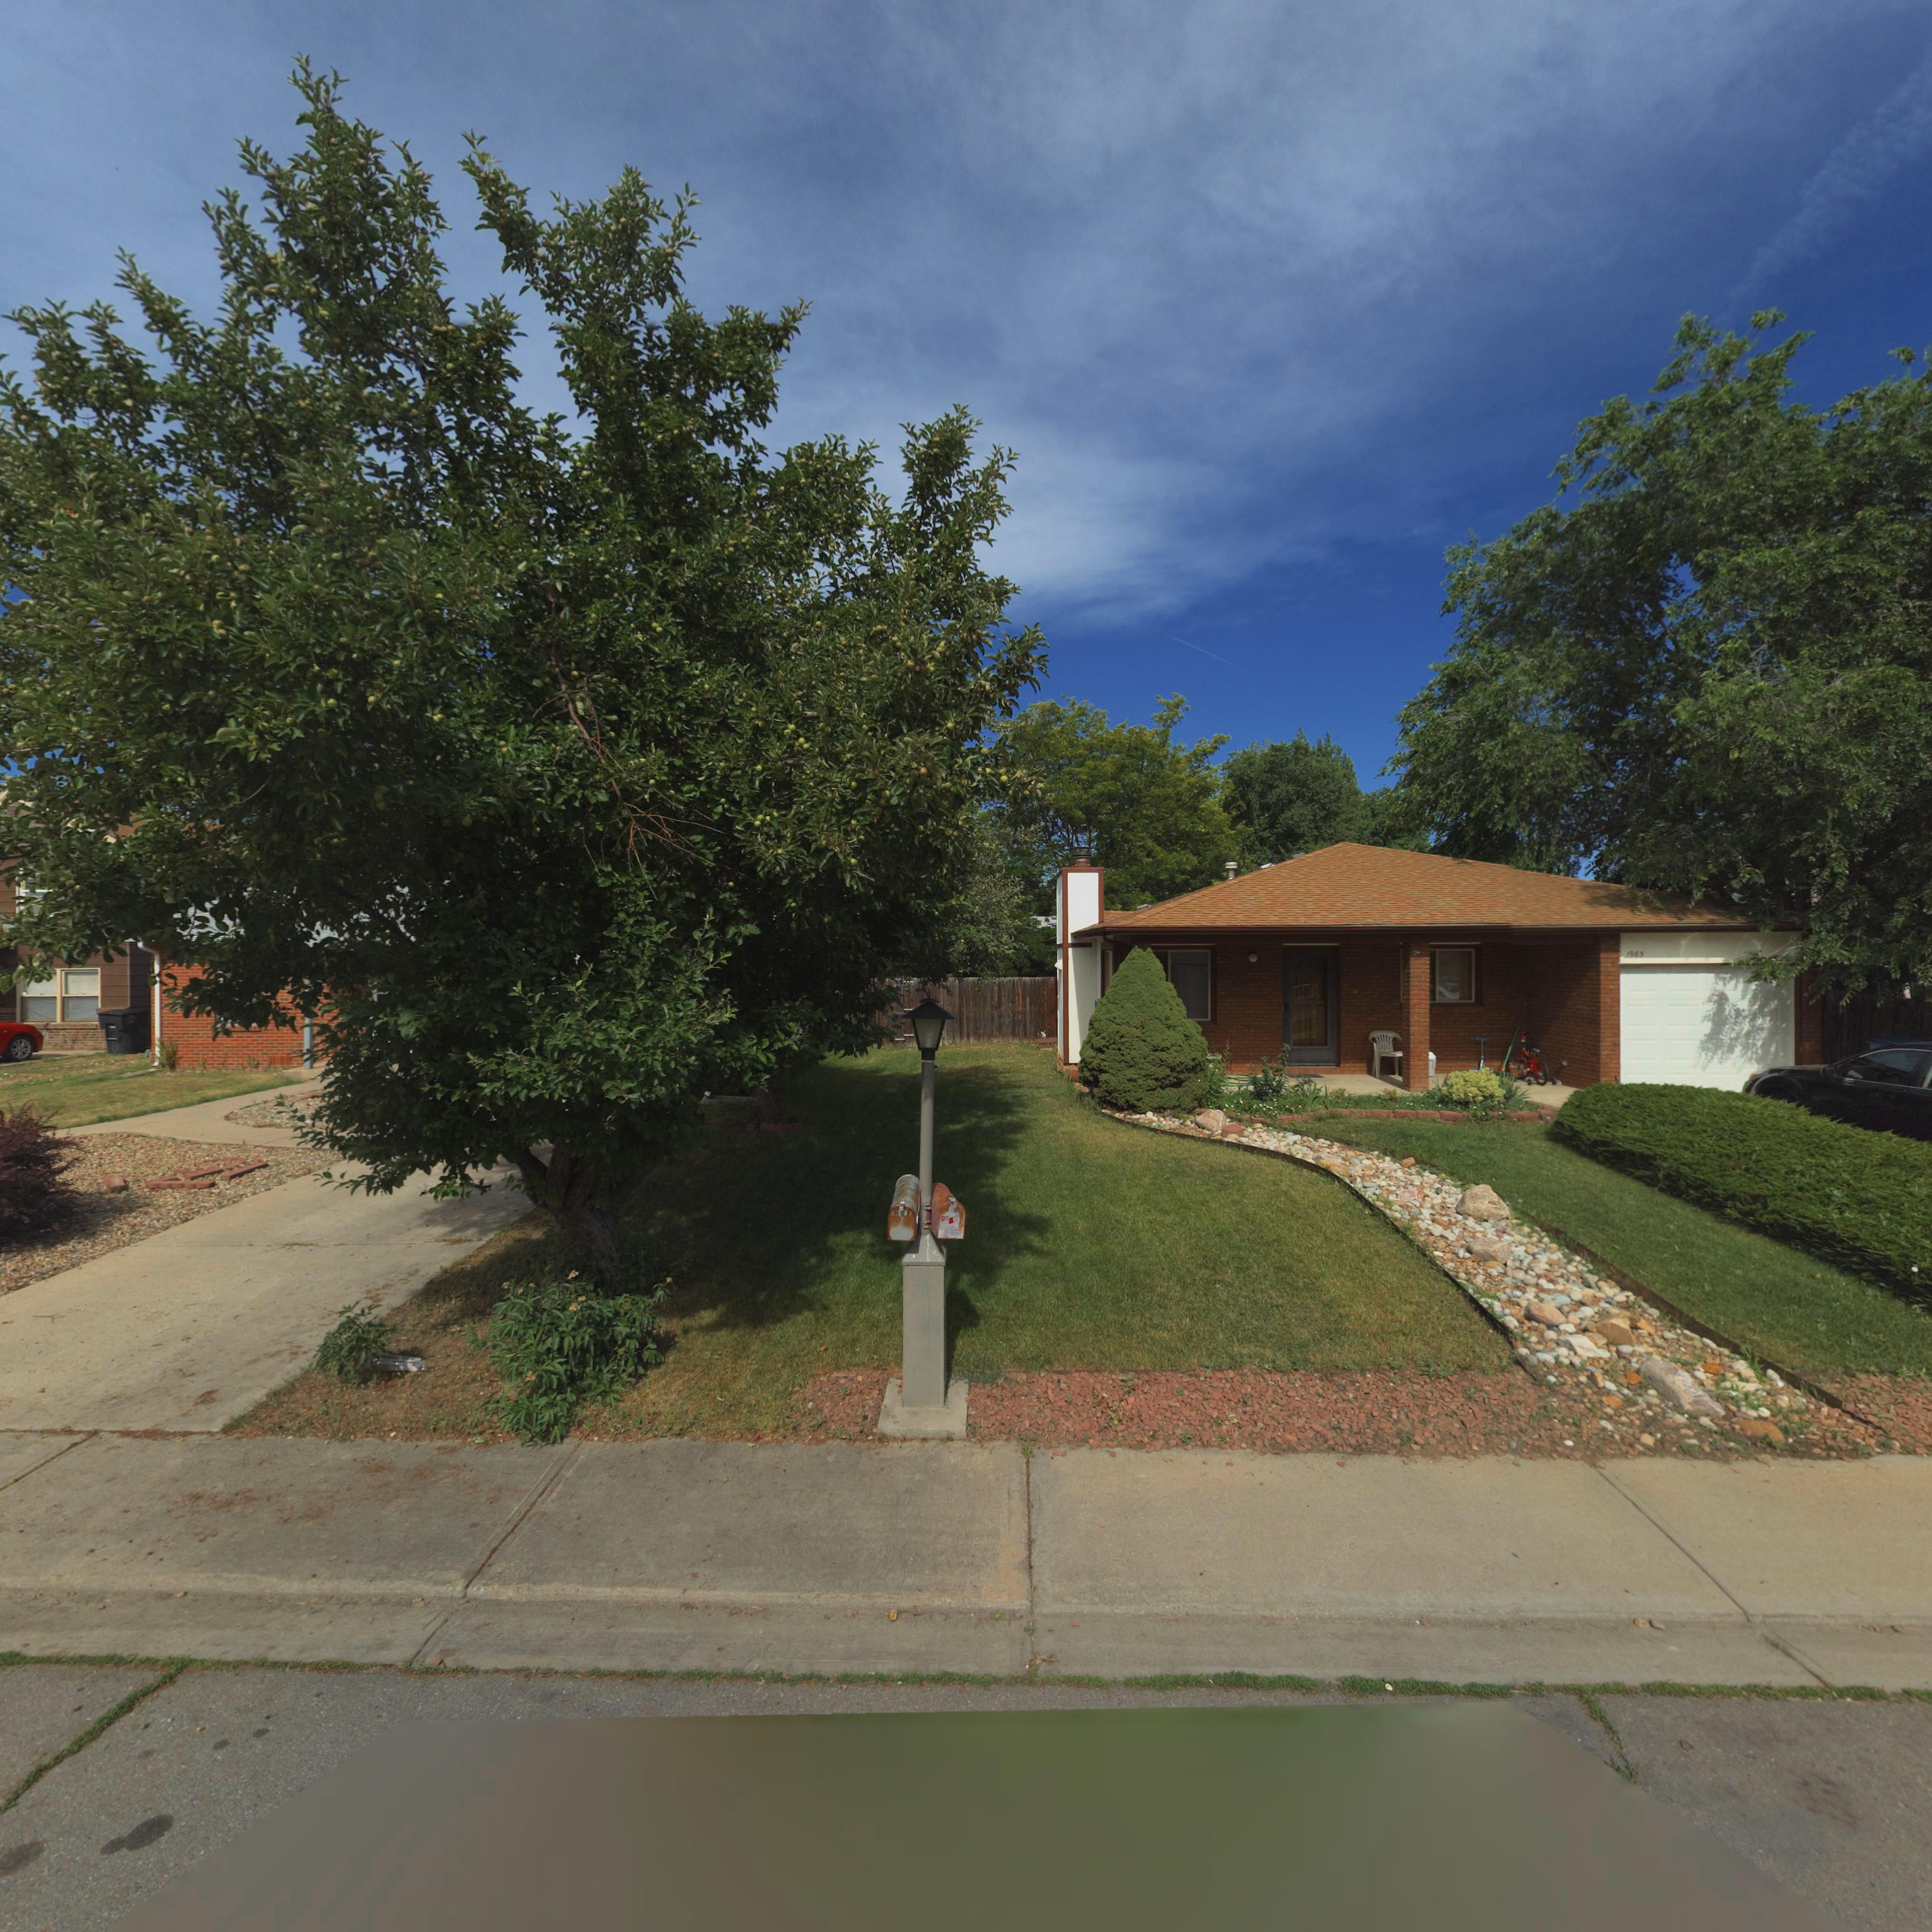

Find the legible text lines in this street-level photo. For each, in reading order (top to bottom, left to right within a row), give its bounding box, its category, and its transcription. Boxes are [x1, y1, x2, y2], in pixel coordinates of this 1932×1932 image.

[1626, 950, 1643, 957] StreetNumber: 1983
[891, 1211, 898, 1216] StreetNumber: 19
[945, 1215, 949, 1221] StreetNumber: 9
[955, 1214, 959, 1221] StreetNumber: 3